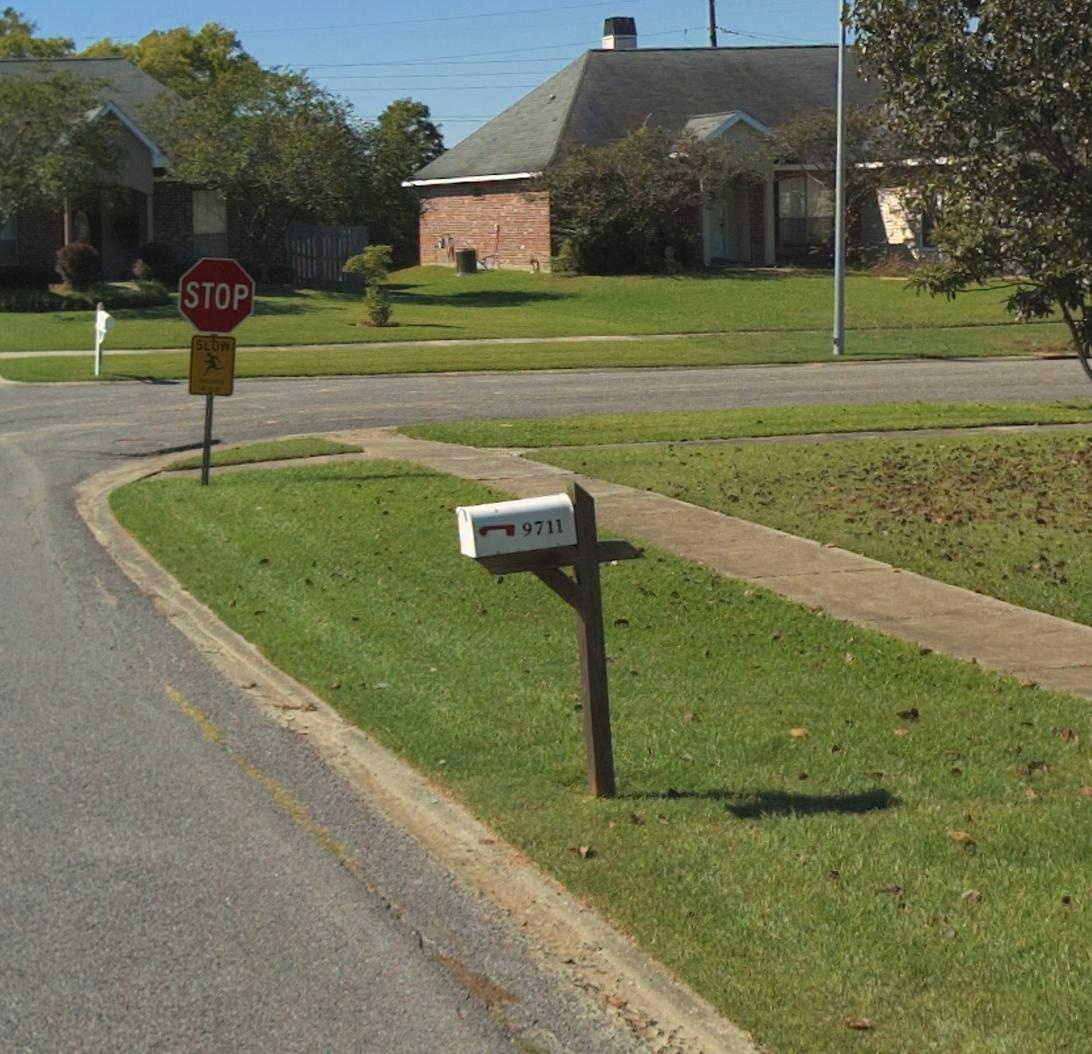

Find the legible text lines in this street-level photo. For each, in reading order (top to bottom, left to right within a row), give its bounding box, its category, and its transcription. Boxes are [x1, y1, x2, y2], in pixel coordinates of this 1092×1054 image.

[183, 280, 250, 312] None: STOP
[194, 339, 231, 352] None: SLOW
[520, 518, 564, 538] StreetNumber: 9711